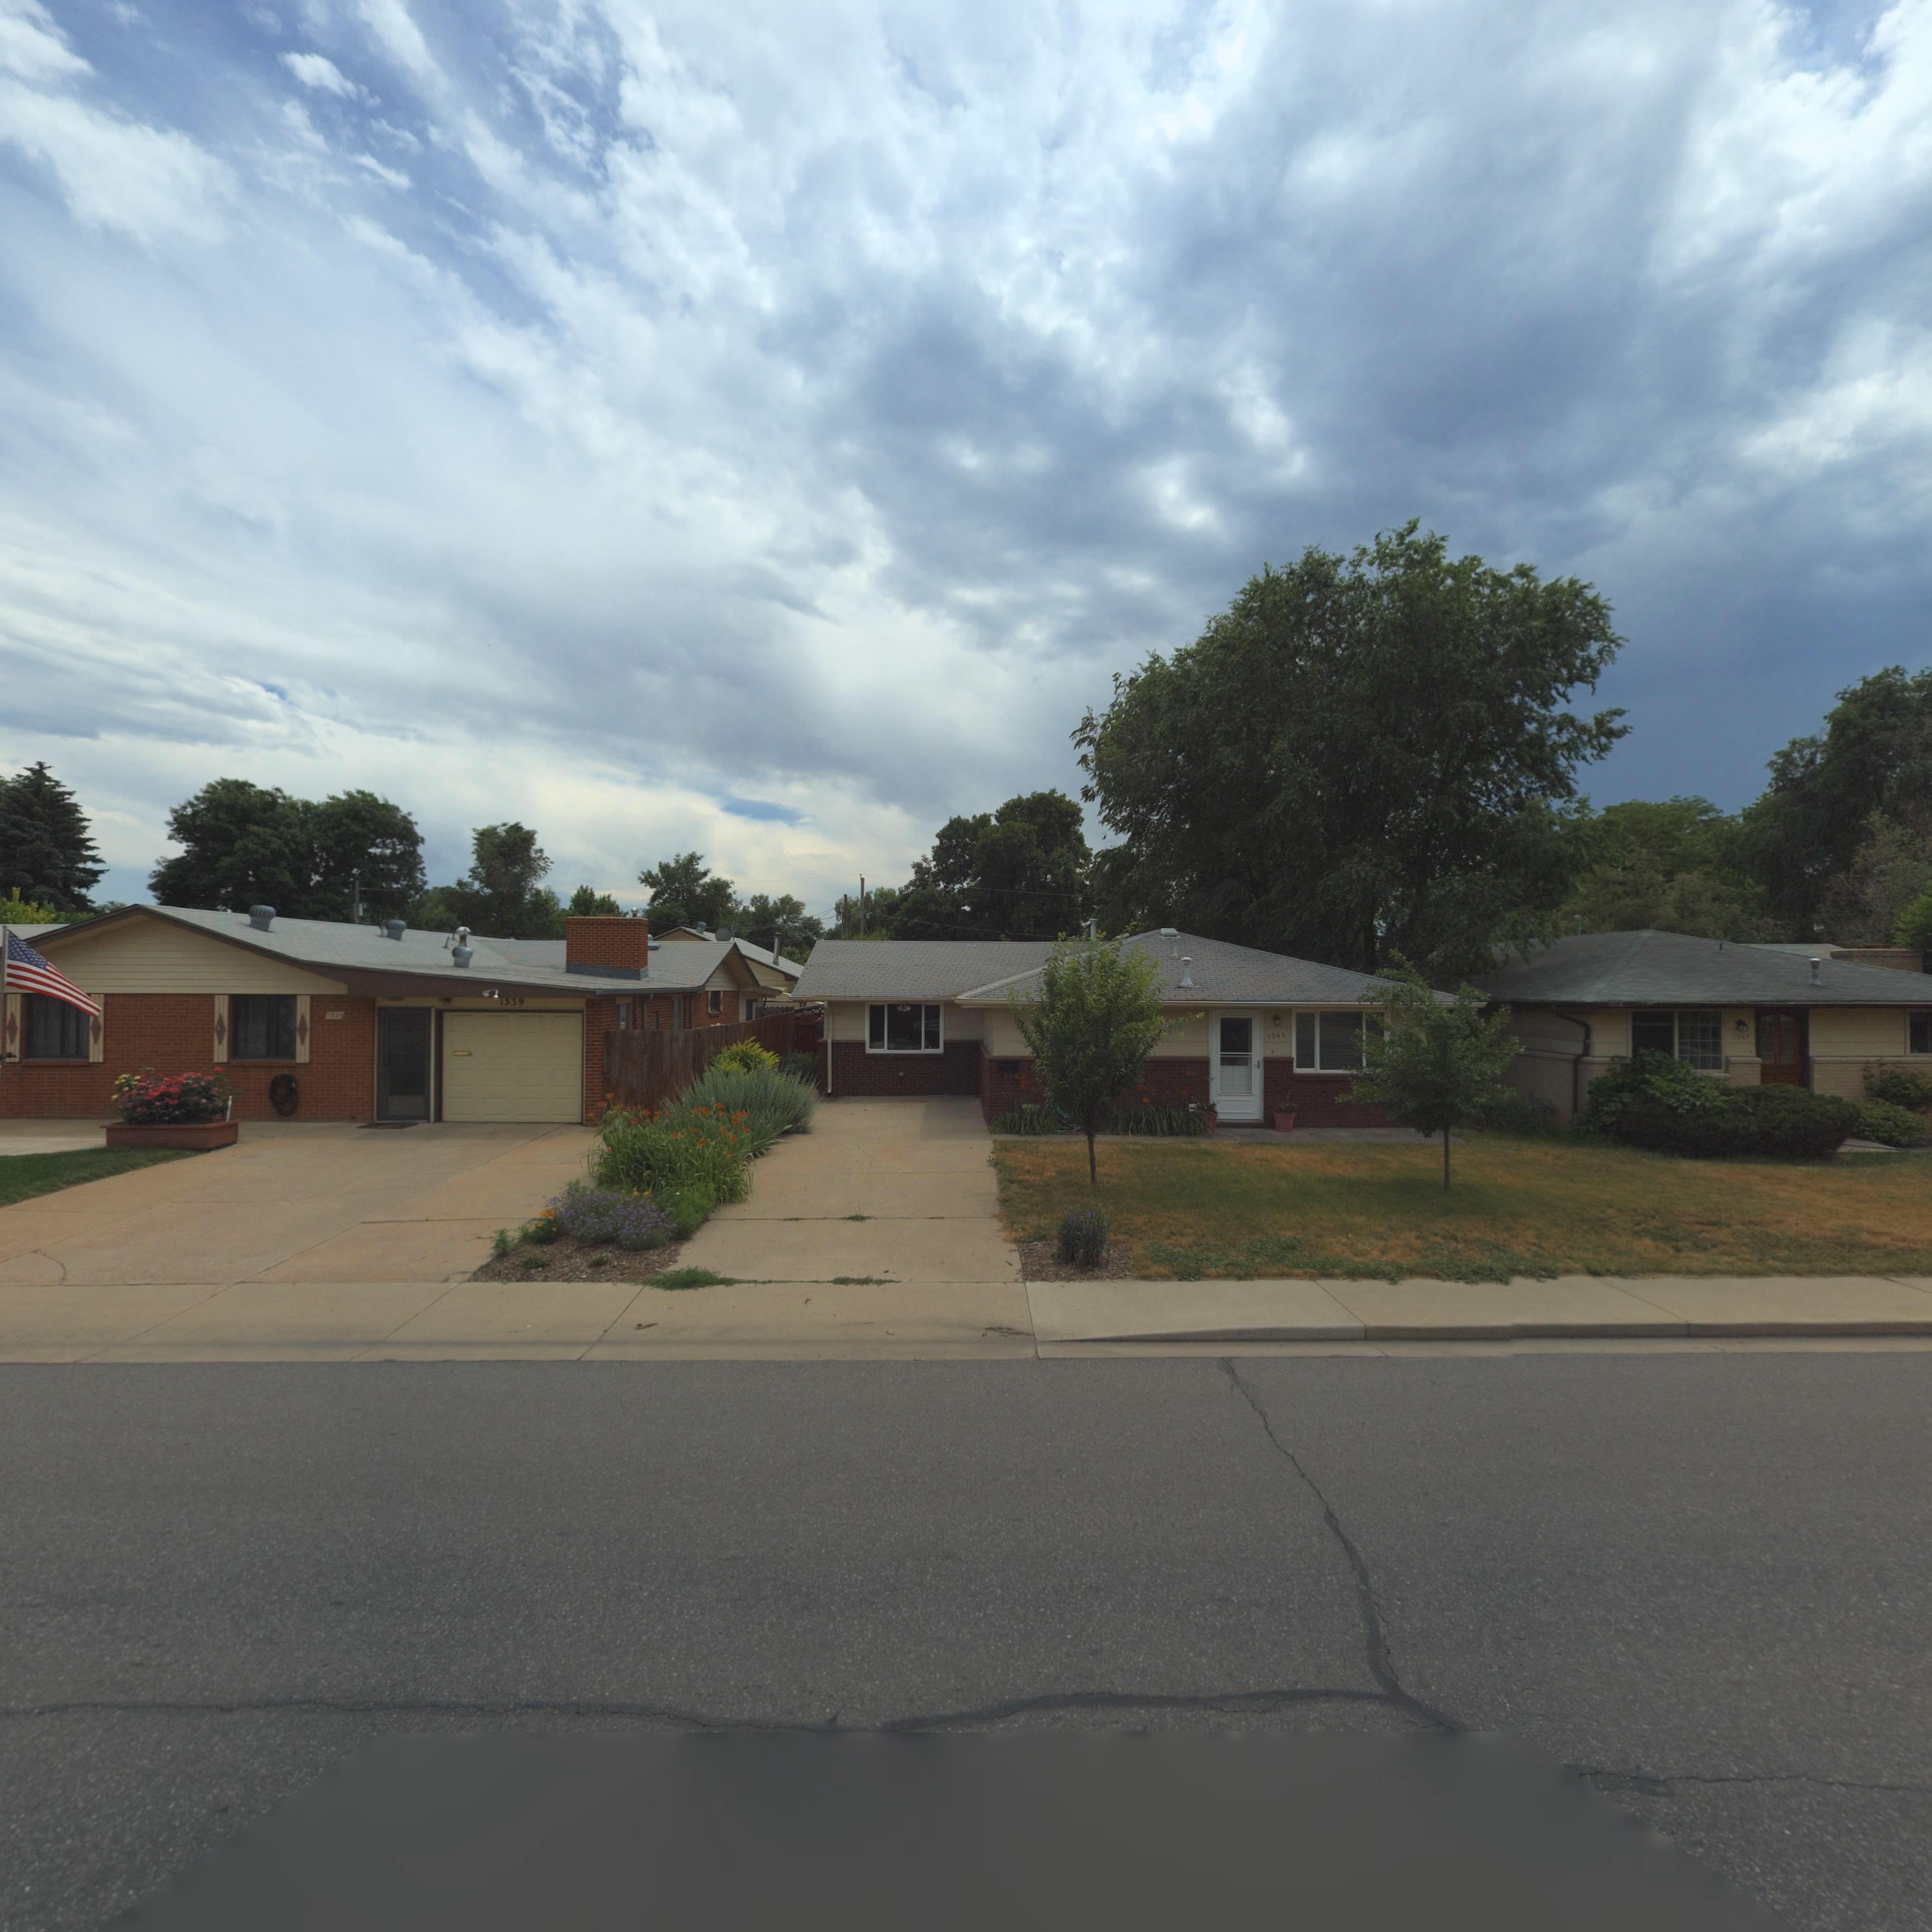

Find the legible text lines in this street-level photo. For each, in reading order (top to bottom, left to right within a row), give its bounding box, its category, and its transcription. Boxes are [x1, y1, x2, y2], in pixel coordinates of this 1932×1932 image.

[499, 997, 525, 1006] StreetNumber: 1339
[327, 1012, 344, 1018] StreetNumber: 1*39
[1266, 1031, 1286, 1040] StreetNumber: 1343
[1732, 1033, 1750, 1040] StreetNumber: *3*7